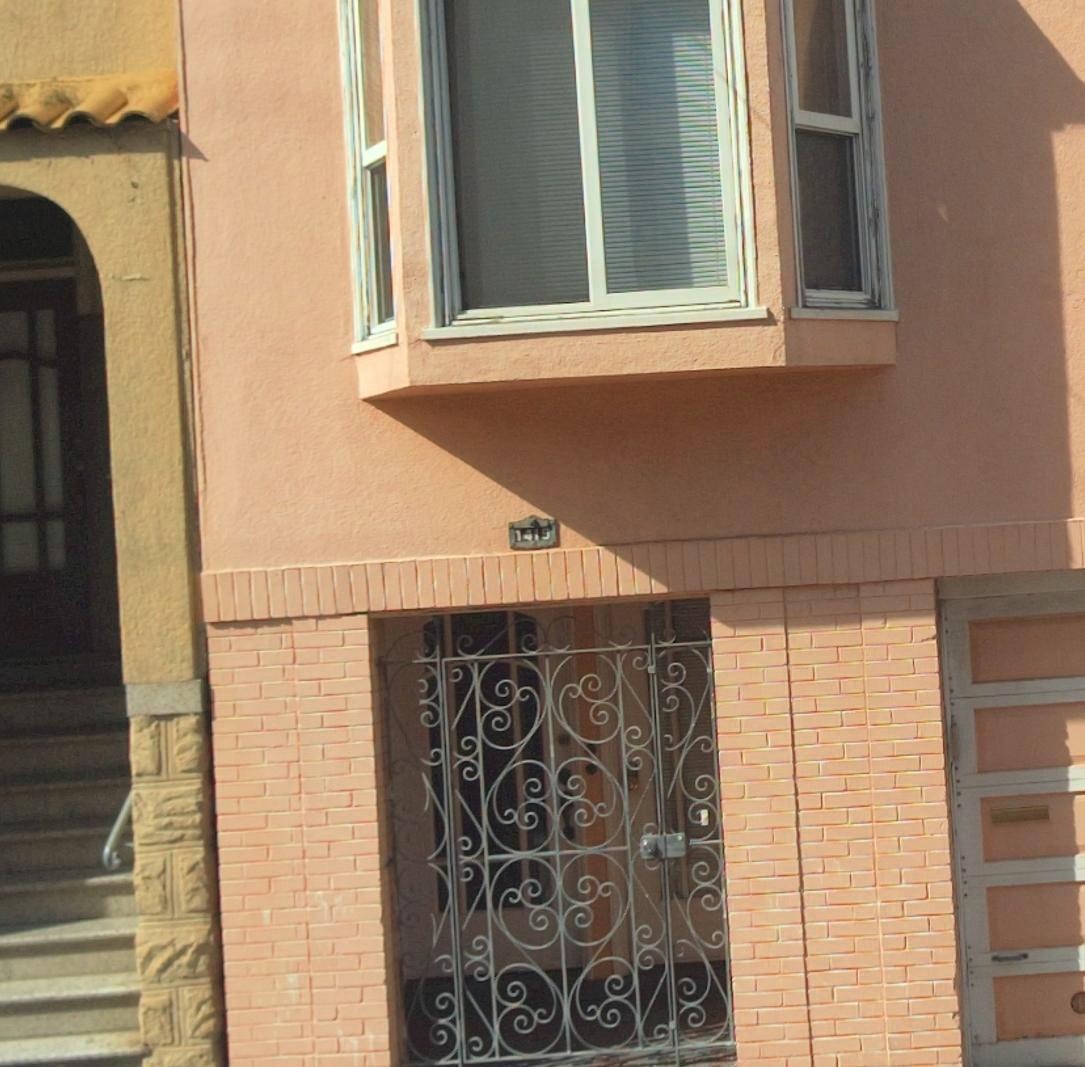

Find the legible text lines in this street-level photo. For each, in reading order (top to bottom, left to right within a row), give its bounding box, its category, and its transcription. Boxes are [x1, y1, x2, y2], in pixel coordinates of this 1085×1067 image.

[512, 525, 554, 544] StreetNumber: 1419